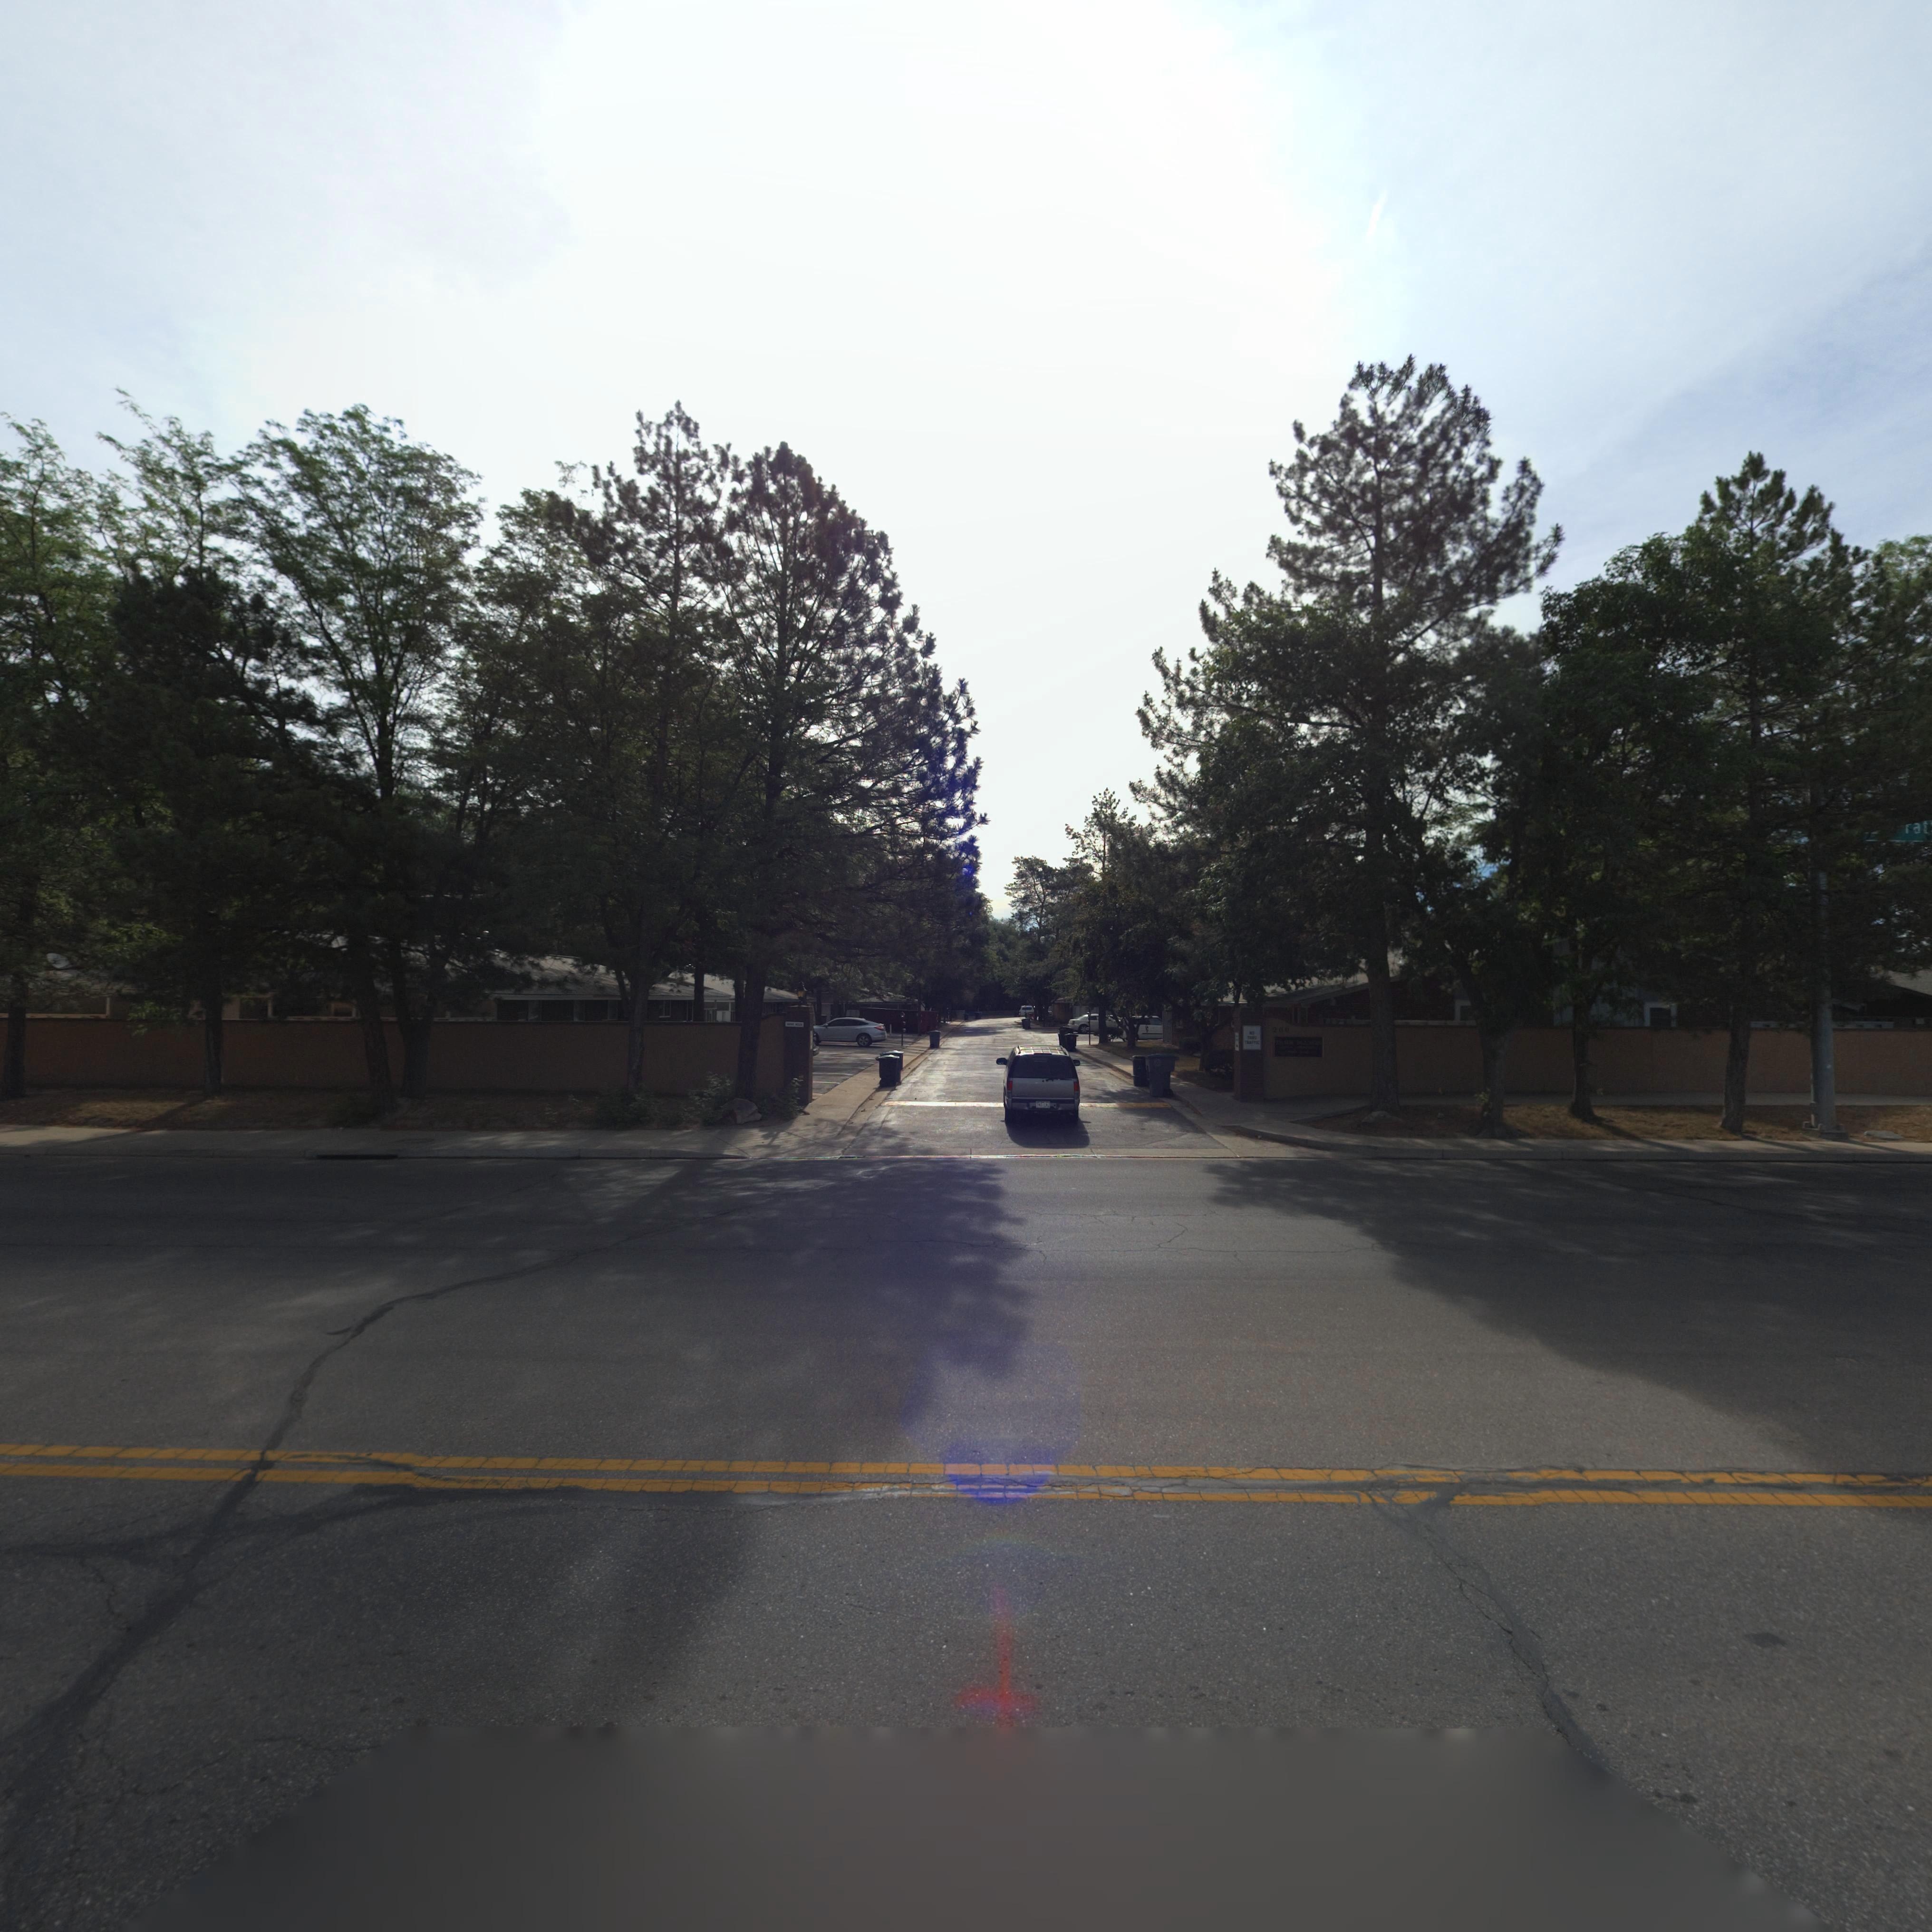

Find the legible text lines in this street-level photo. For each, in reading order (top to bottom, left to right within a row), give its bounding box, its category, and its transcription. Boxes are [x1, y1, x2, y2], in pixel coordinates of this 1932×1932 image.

[1273, 1027, 1288, 1033] StreetNumber: 200